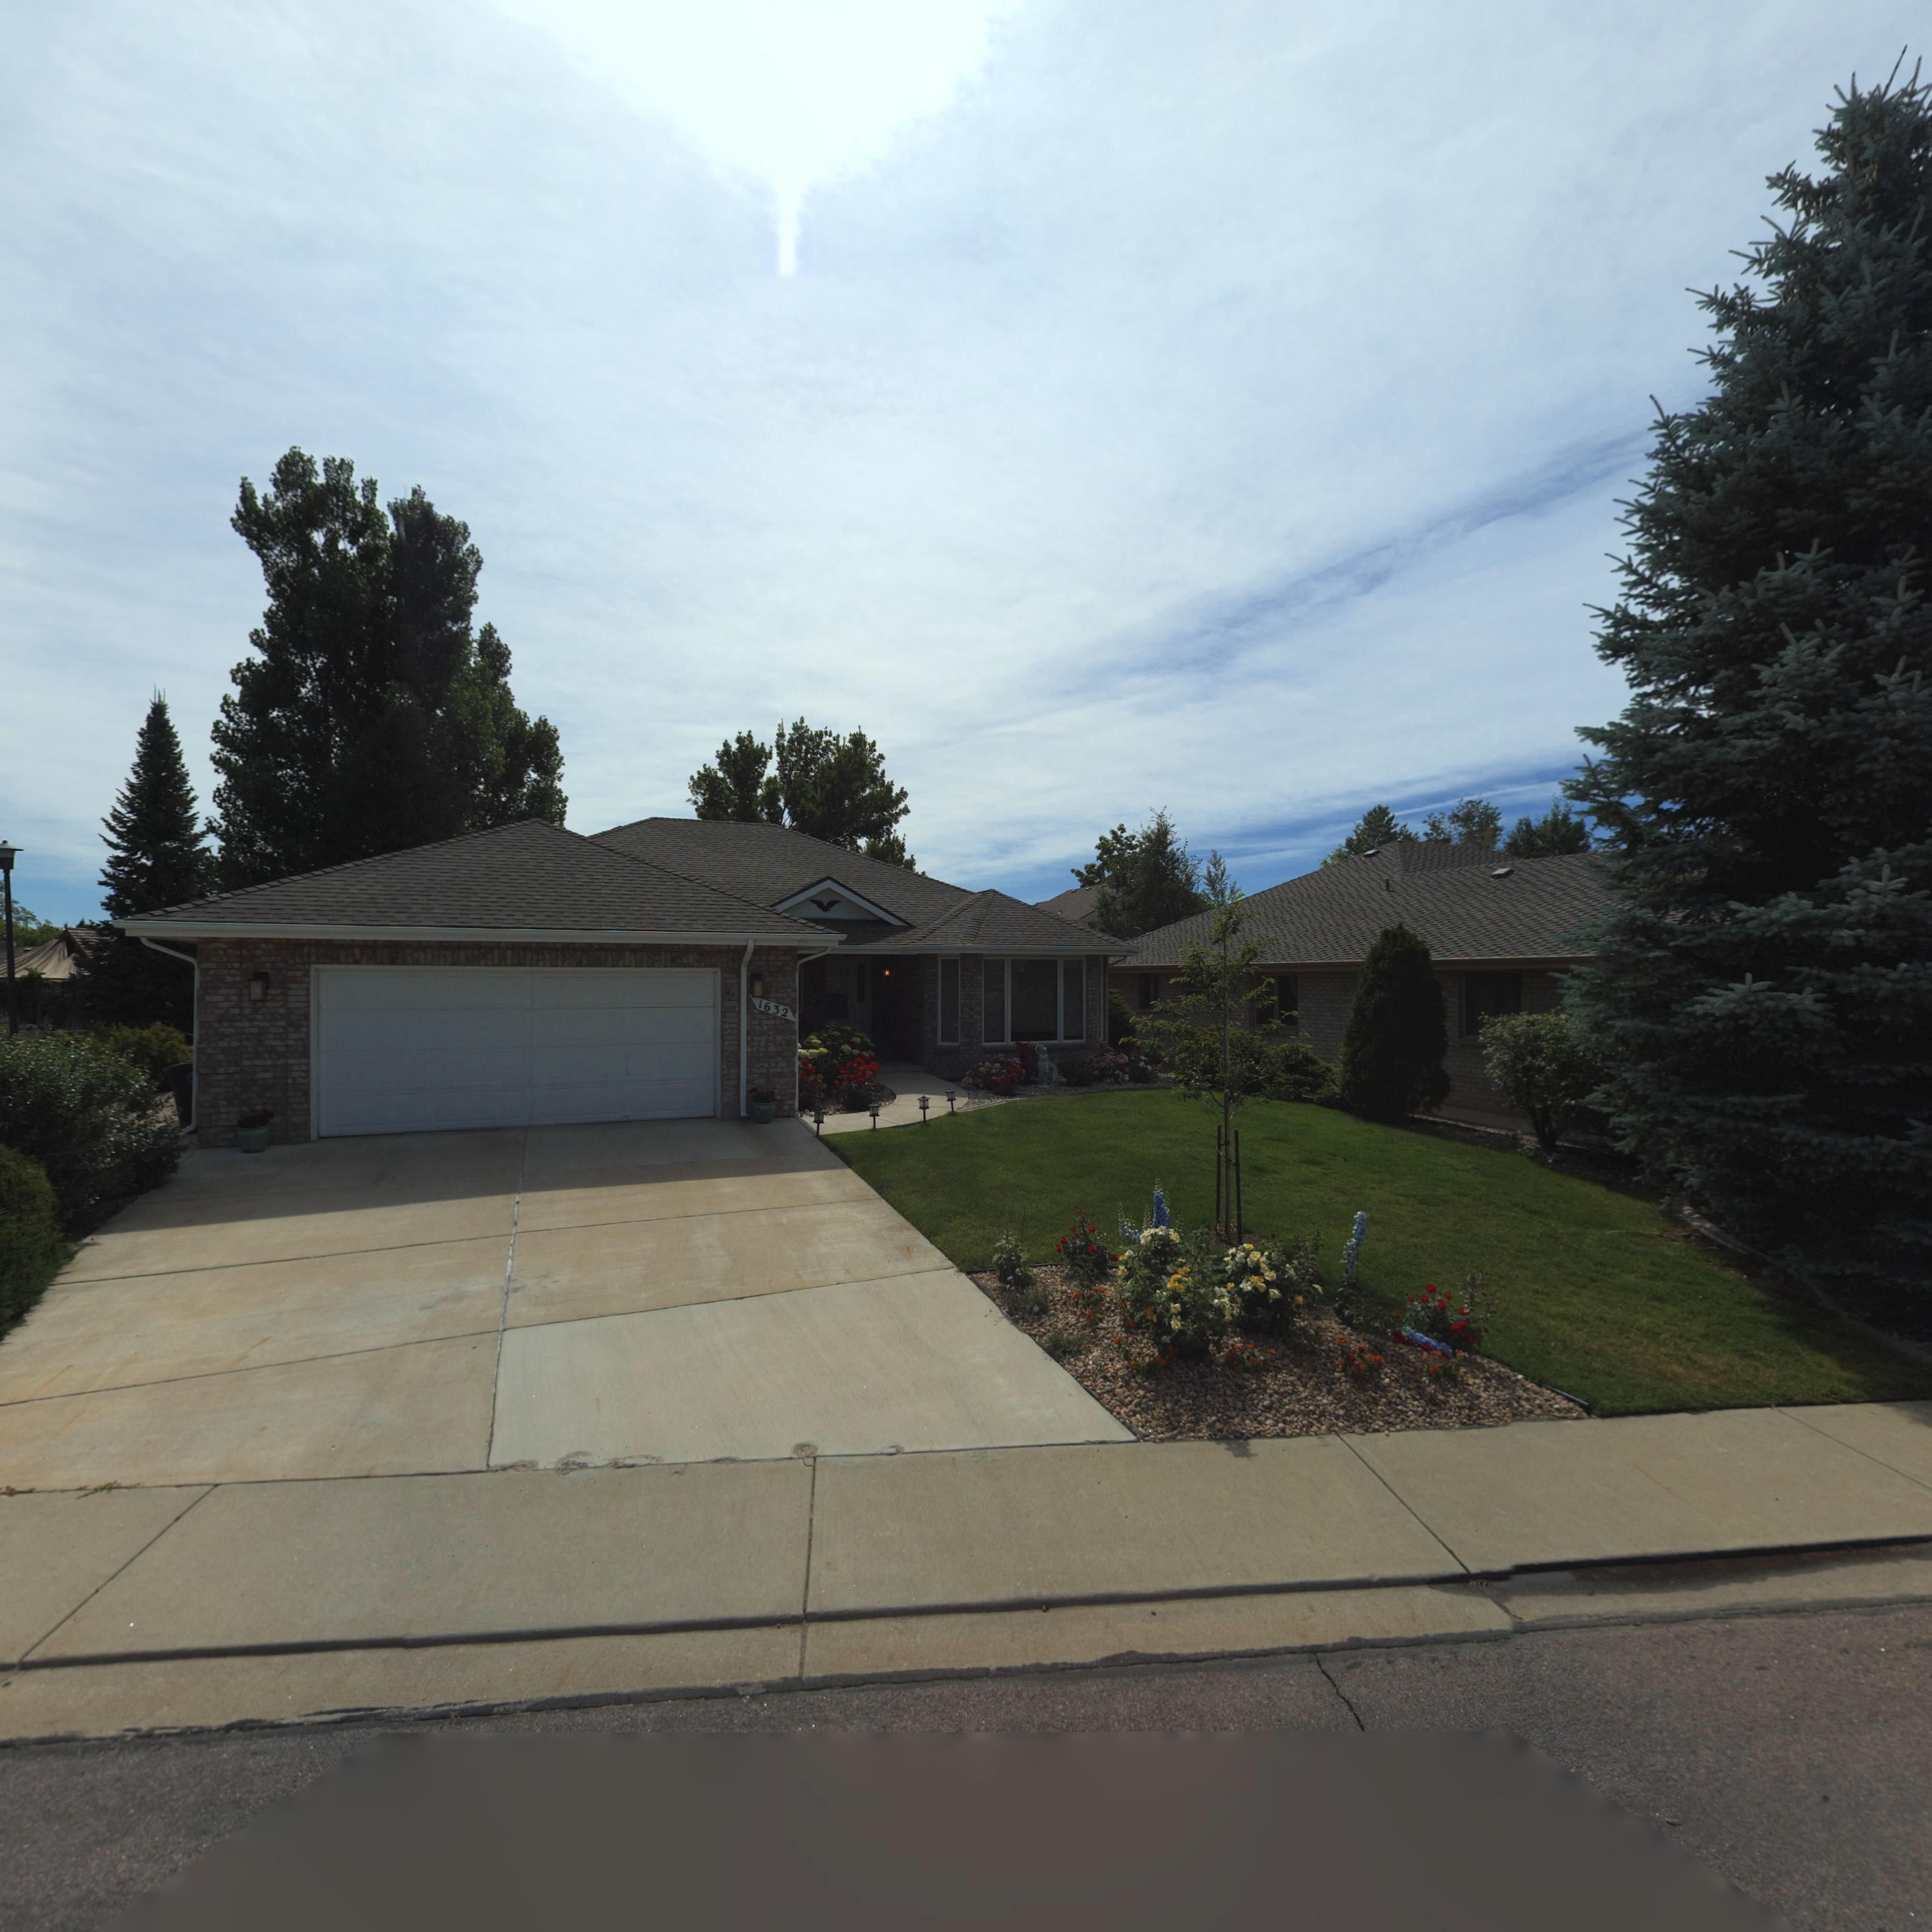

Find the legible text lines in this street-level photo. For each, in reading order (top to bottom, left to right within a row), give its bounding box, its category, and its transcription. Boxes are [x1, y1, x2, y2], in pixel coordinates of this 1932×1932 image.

[758, 998, 789, 1017] StreetNumber: 1632